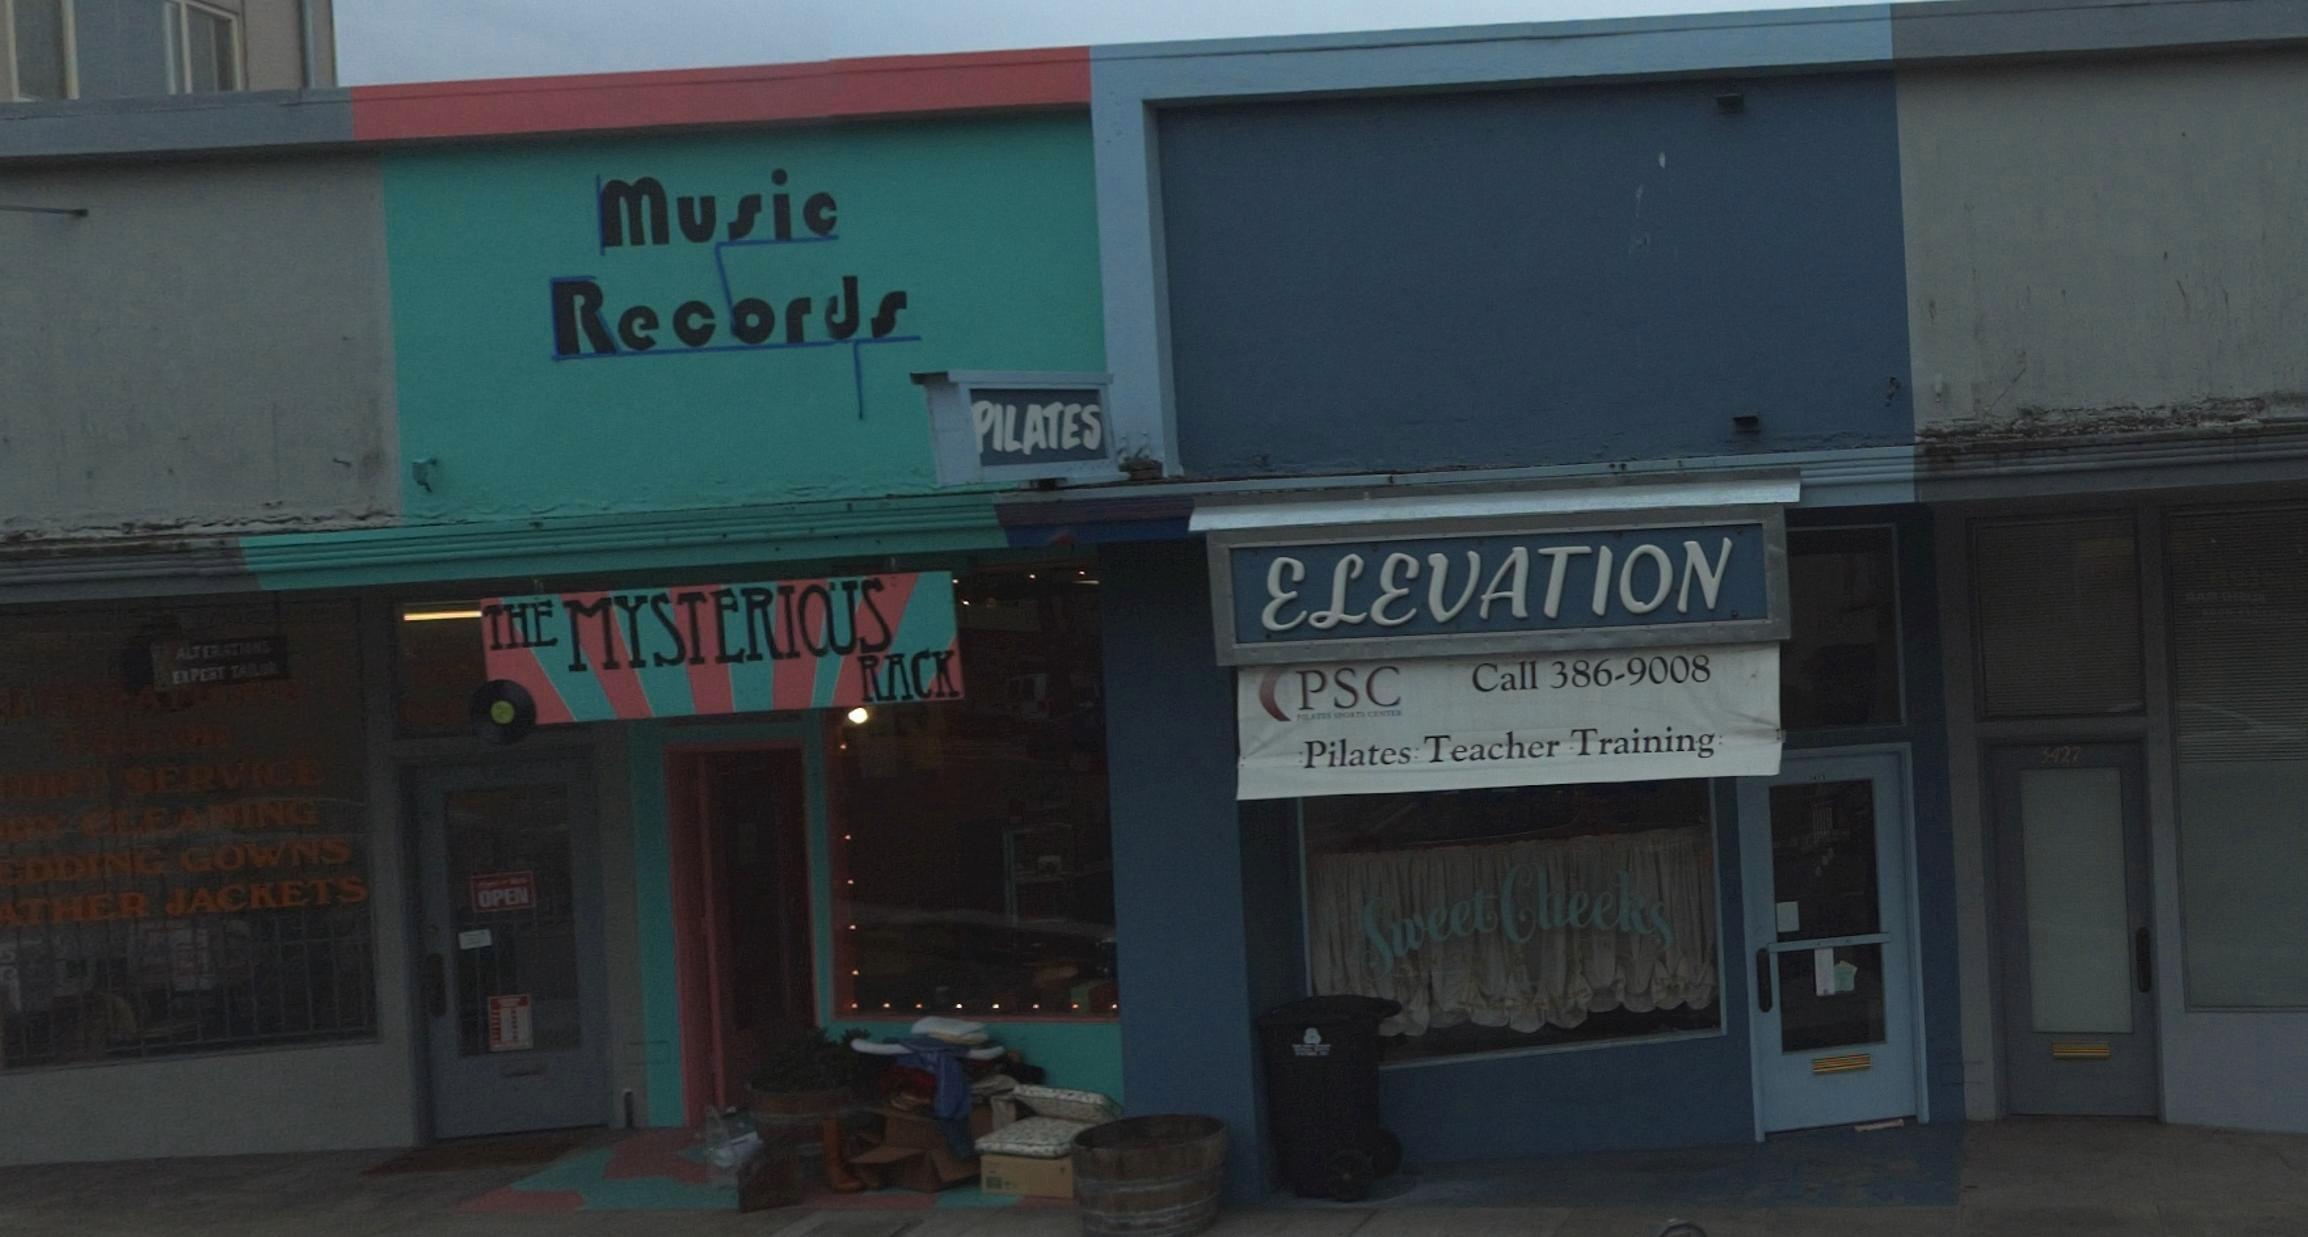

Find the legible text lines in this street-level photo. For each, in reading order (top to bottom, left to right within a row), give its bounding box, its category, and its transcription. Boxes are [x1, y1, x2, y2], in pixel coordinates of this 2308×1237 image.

[596, 166, 843, 250] None: Music
[548, 273, 915, 358] None: Records
[966, 396, 1105, 459] None: PILATES
[1254, 534, 1739, 636] BusinessName: Elevation
[173, 639, 275, 661] None: ALTERATIONS
[171, 659, 281, 686] None: EXPERTTAILOR
[481, 596, 560, 652] BusinessName: THE
[559, 574, 897, 677] BusinessName: MYSTERIOUS
[854, 644, 964, 704] BusinessName: RACK
[1295, 708, 1403, 722] BusinessName: PILATESSPORTSCENTER
[1293, 663, 1406, 712] BusinessName: PSC
[1468, 650, 1718, 697] None: Call 386-9008
[121, 753, 327, 799] None: SERVICE
[1302, 722, 1717, 770] None: Pilates Teacher Training
[2033, 743, 2084, 768] StreetNumber: 3427
[77, 796, 322, 839] None: CLEANING
[21, 833, 358, 888] None: DDING GOWNS
[13, 872, 371, 927] None: THER JACKETS
[475, 884, 532, 909] None: OPEN
[1358, 859, 1676, 987] BusinessName: Sweet Cheeks